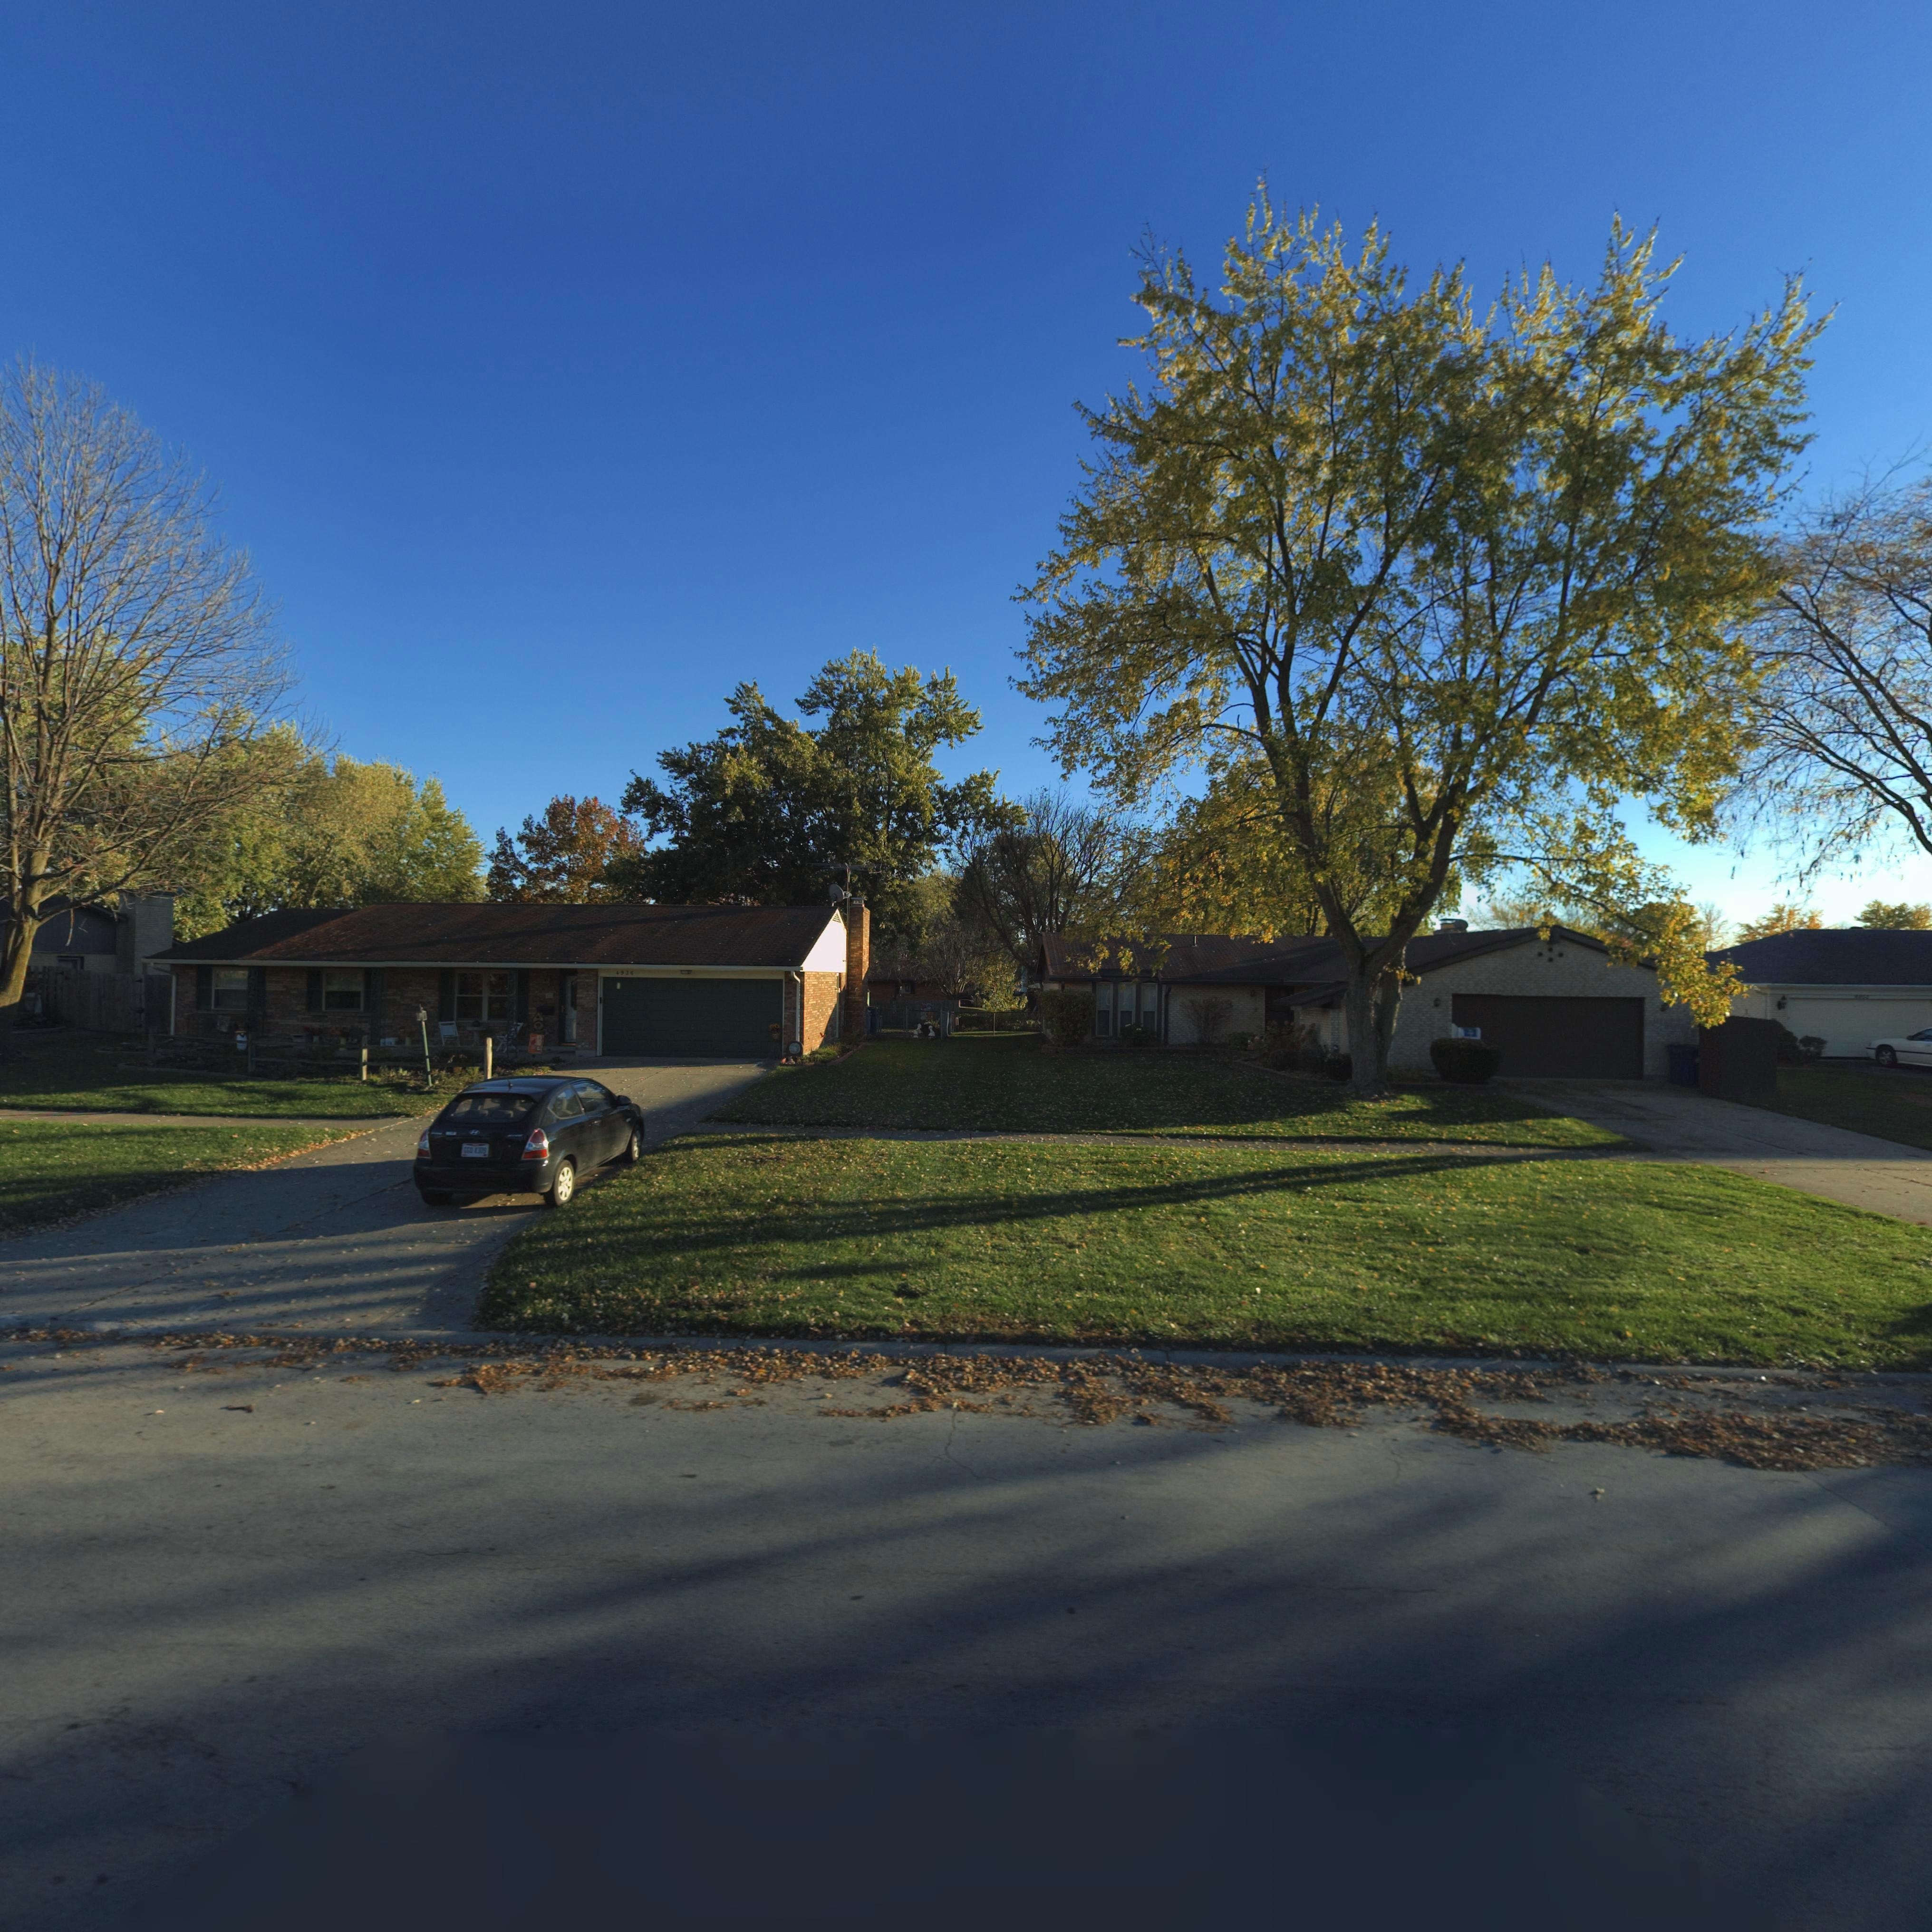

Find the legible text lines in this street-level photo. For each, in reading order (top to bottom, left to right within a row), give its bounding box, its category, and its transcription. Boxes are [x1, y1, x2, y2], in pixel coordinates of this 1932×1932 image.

[616, 970, 634, 976] StreetNumber: 4936
[1854, 994, 1869, 1000] StreetNumber: 48**